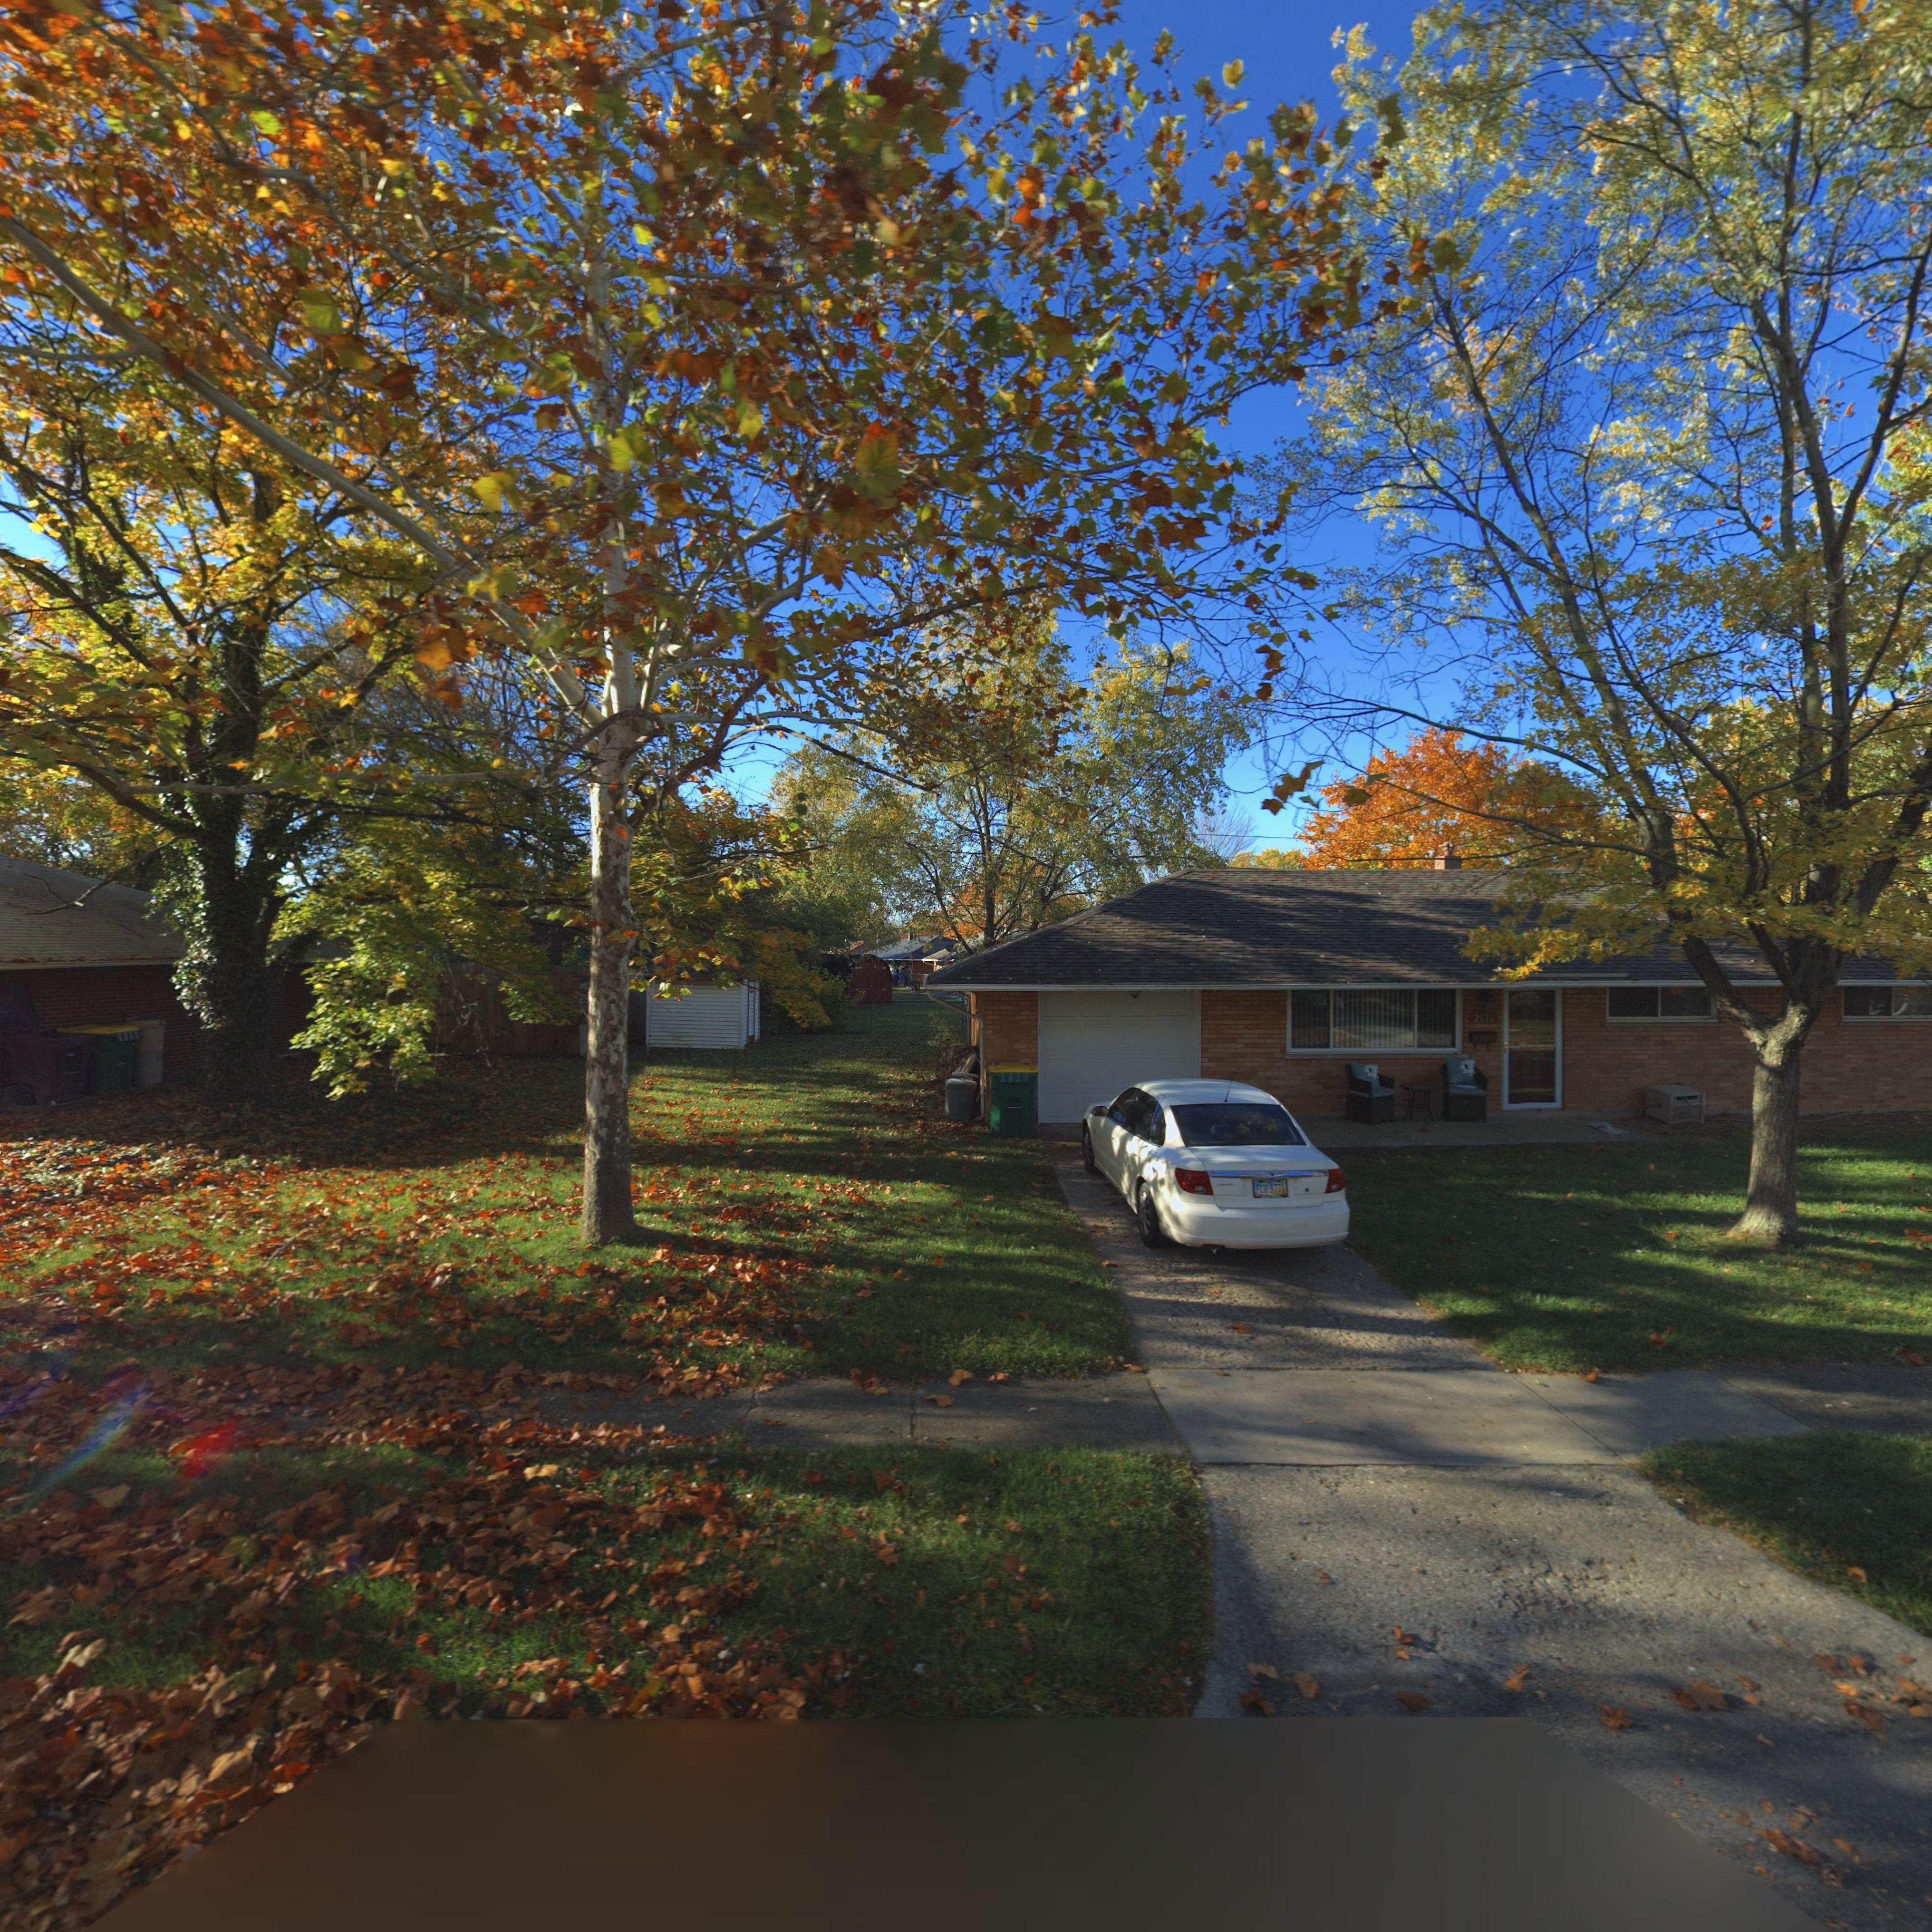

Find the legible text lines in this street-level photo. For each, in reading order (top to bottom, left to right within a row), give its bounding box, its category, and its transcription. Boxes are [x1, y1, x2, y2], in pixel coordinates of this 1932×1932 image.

[1472, 1014, 1495, 1023] StreetNumber: 2616